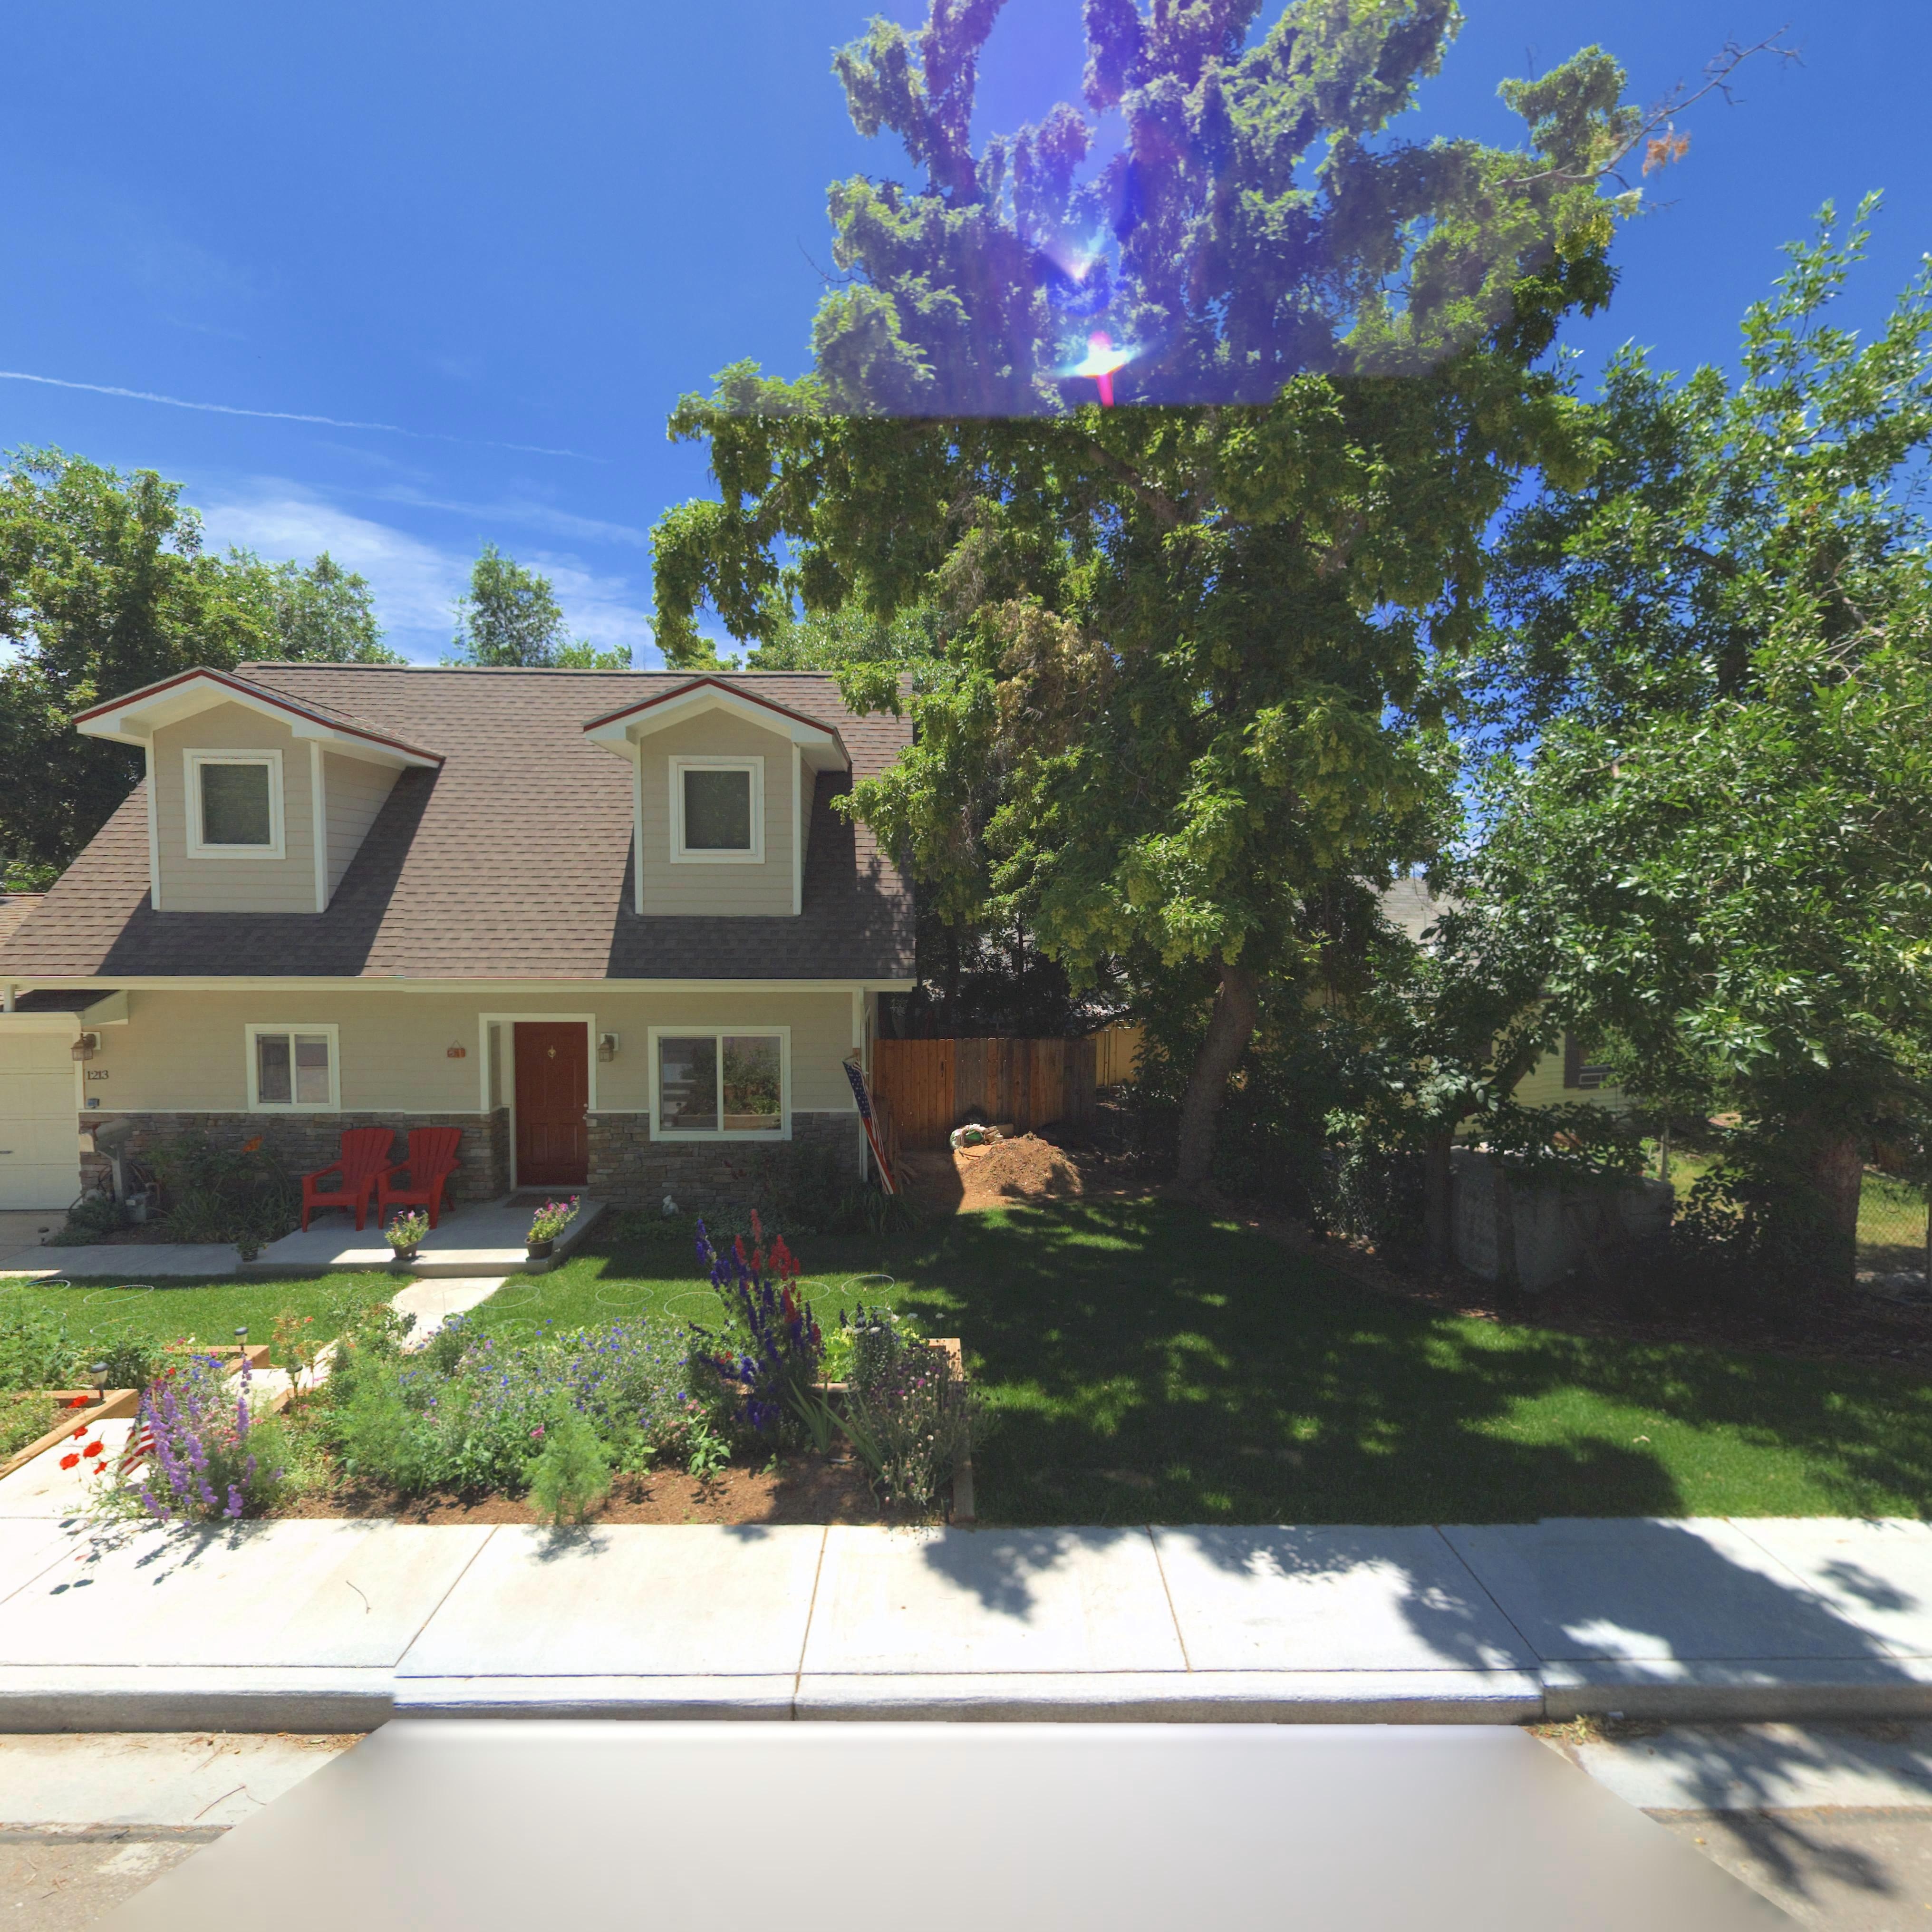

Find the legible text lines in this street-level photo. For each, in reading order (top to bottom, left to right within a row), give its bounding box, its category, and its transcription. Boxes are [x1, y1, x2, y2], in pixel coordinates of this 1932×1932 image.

[86, 1070, 110, 1080] StreetNumber: 1213